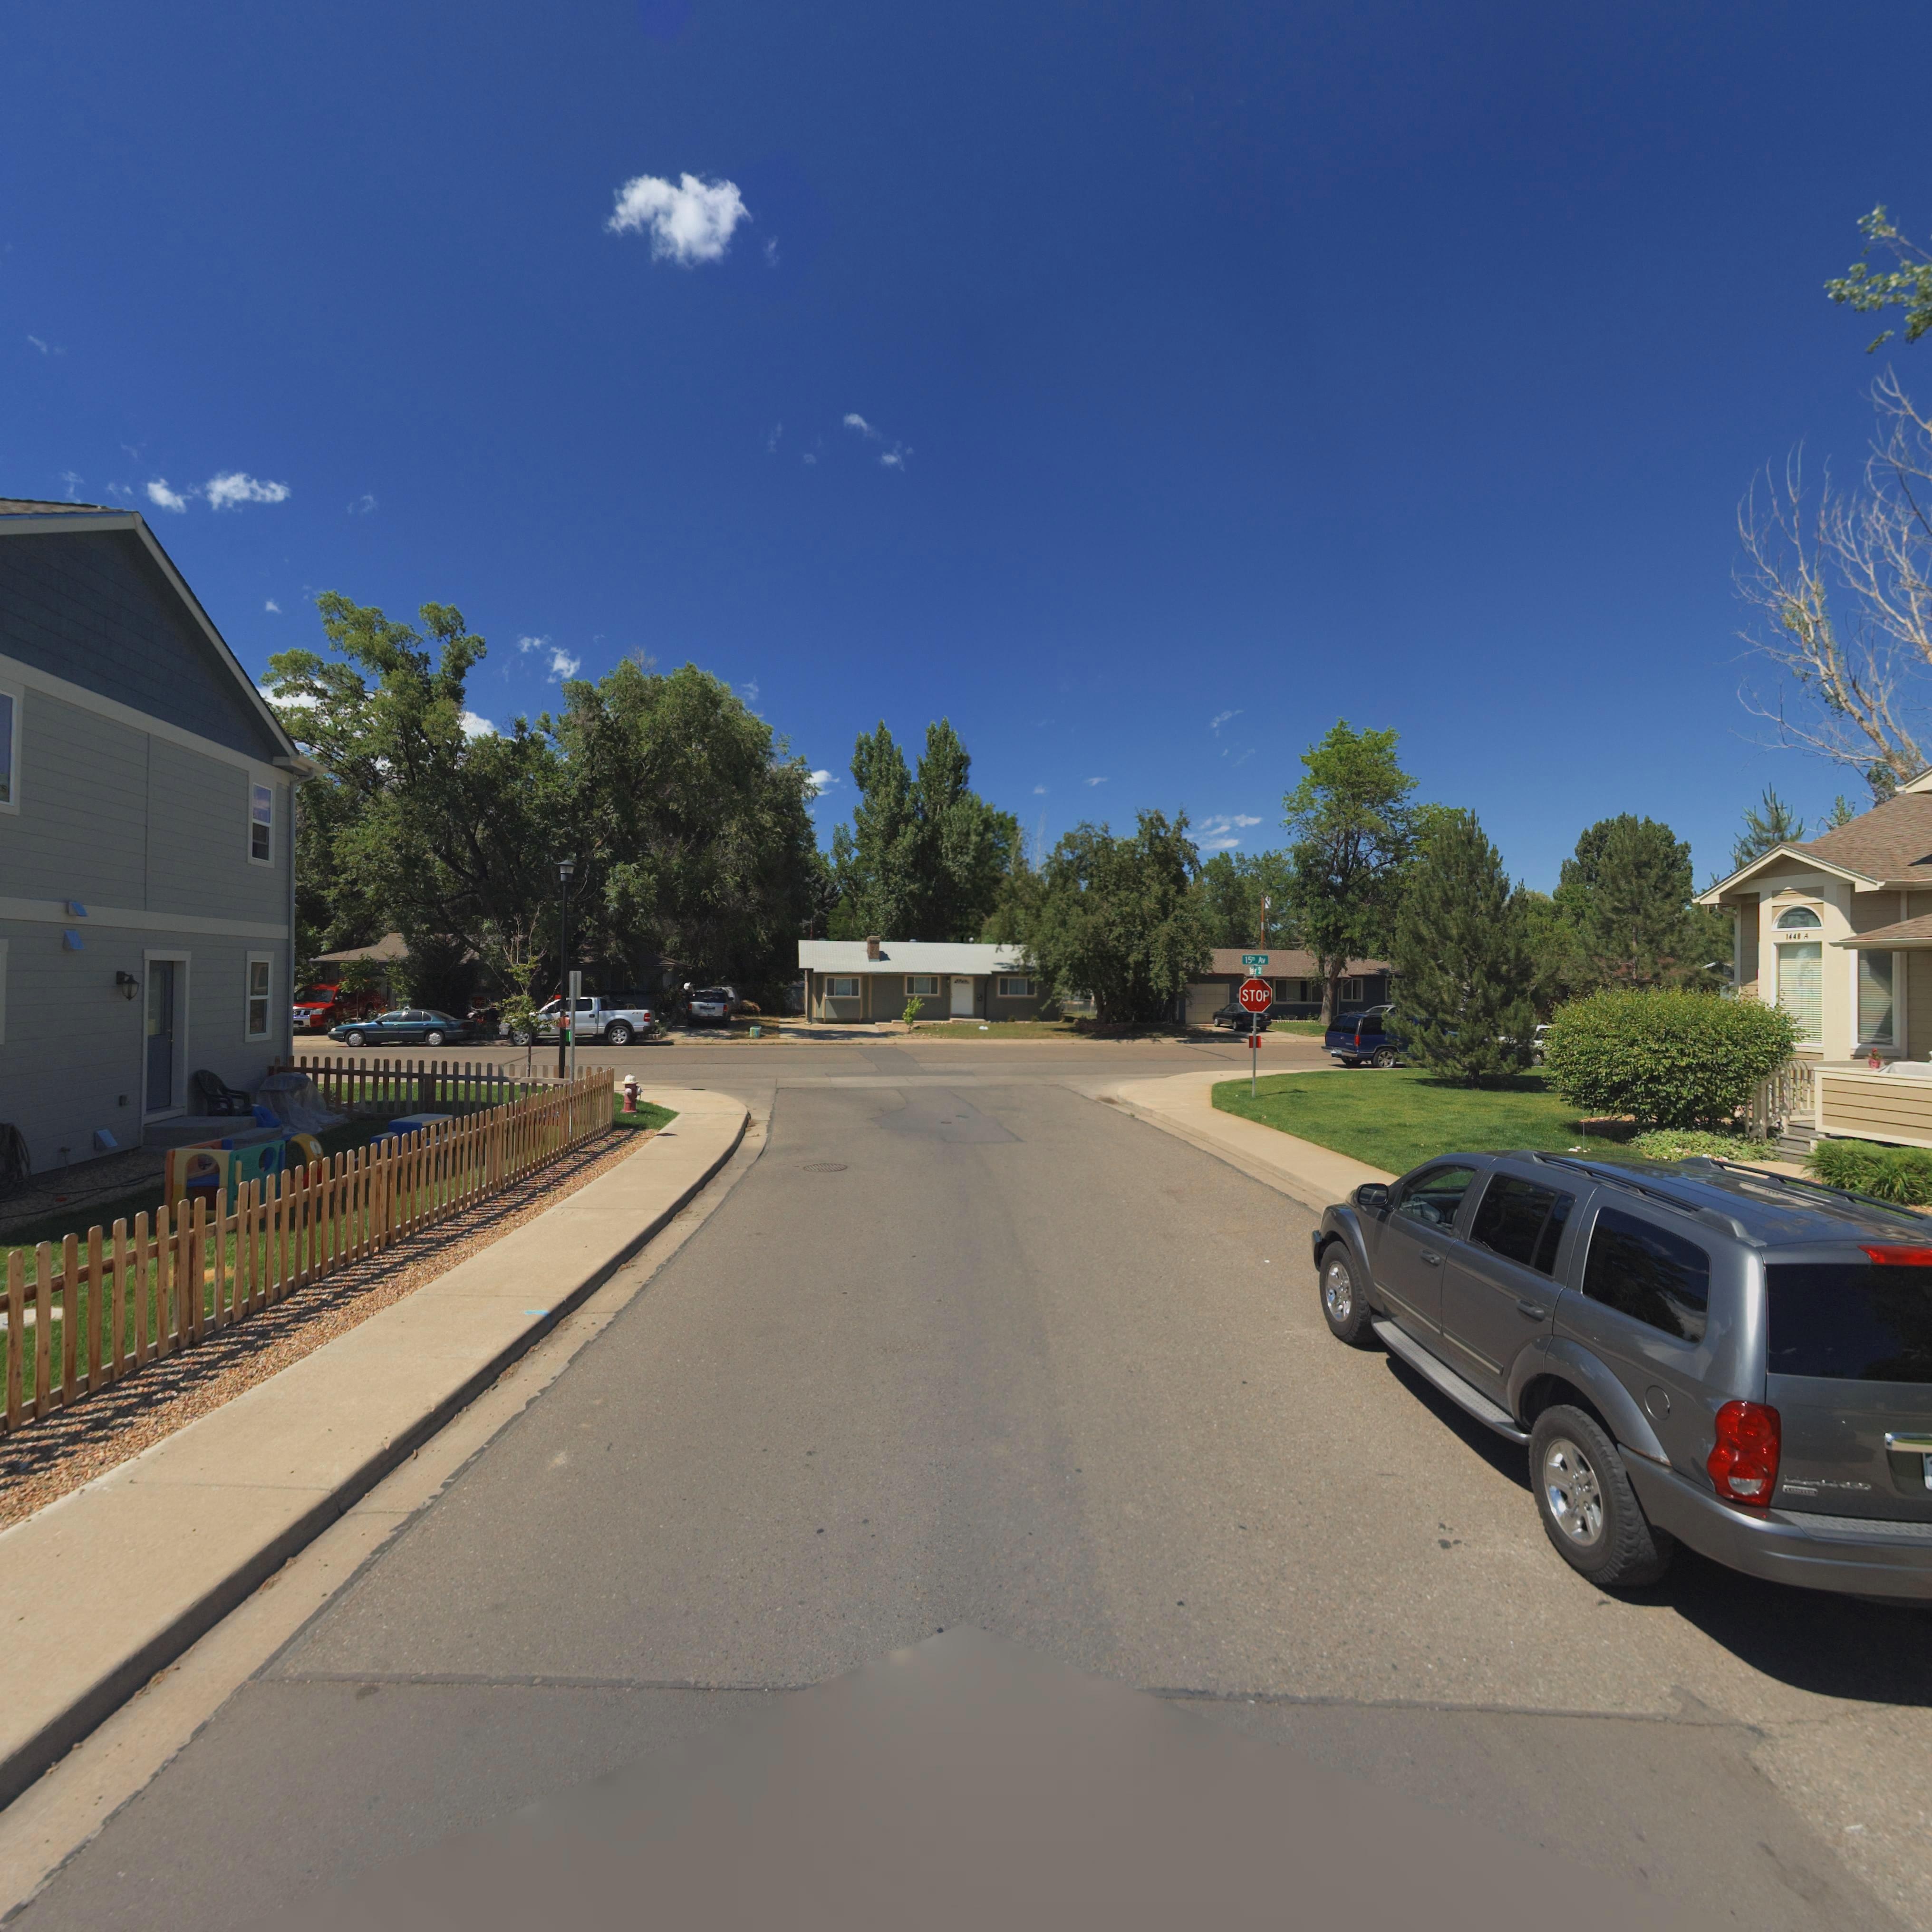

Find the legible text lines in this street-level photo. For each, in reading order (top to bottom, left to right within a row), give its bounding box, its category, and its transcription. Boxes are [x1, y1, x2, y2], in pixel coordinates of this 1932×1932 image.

[1785, 932, 1809, 940] StreetNumber: 1448 A
[1244, 956, 1265, 964] StreetName: 15** A*
[1249, 966, 1261, 975] StreetName: B**** S*